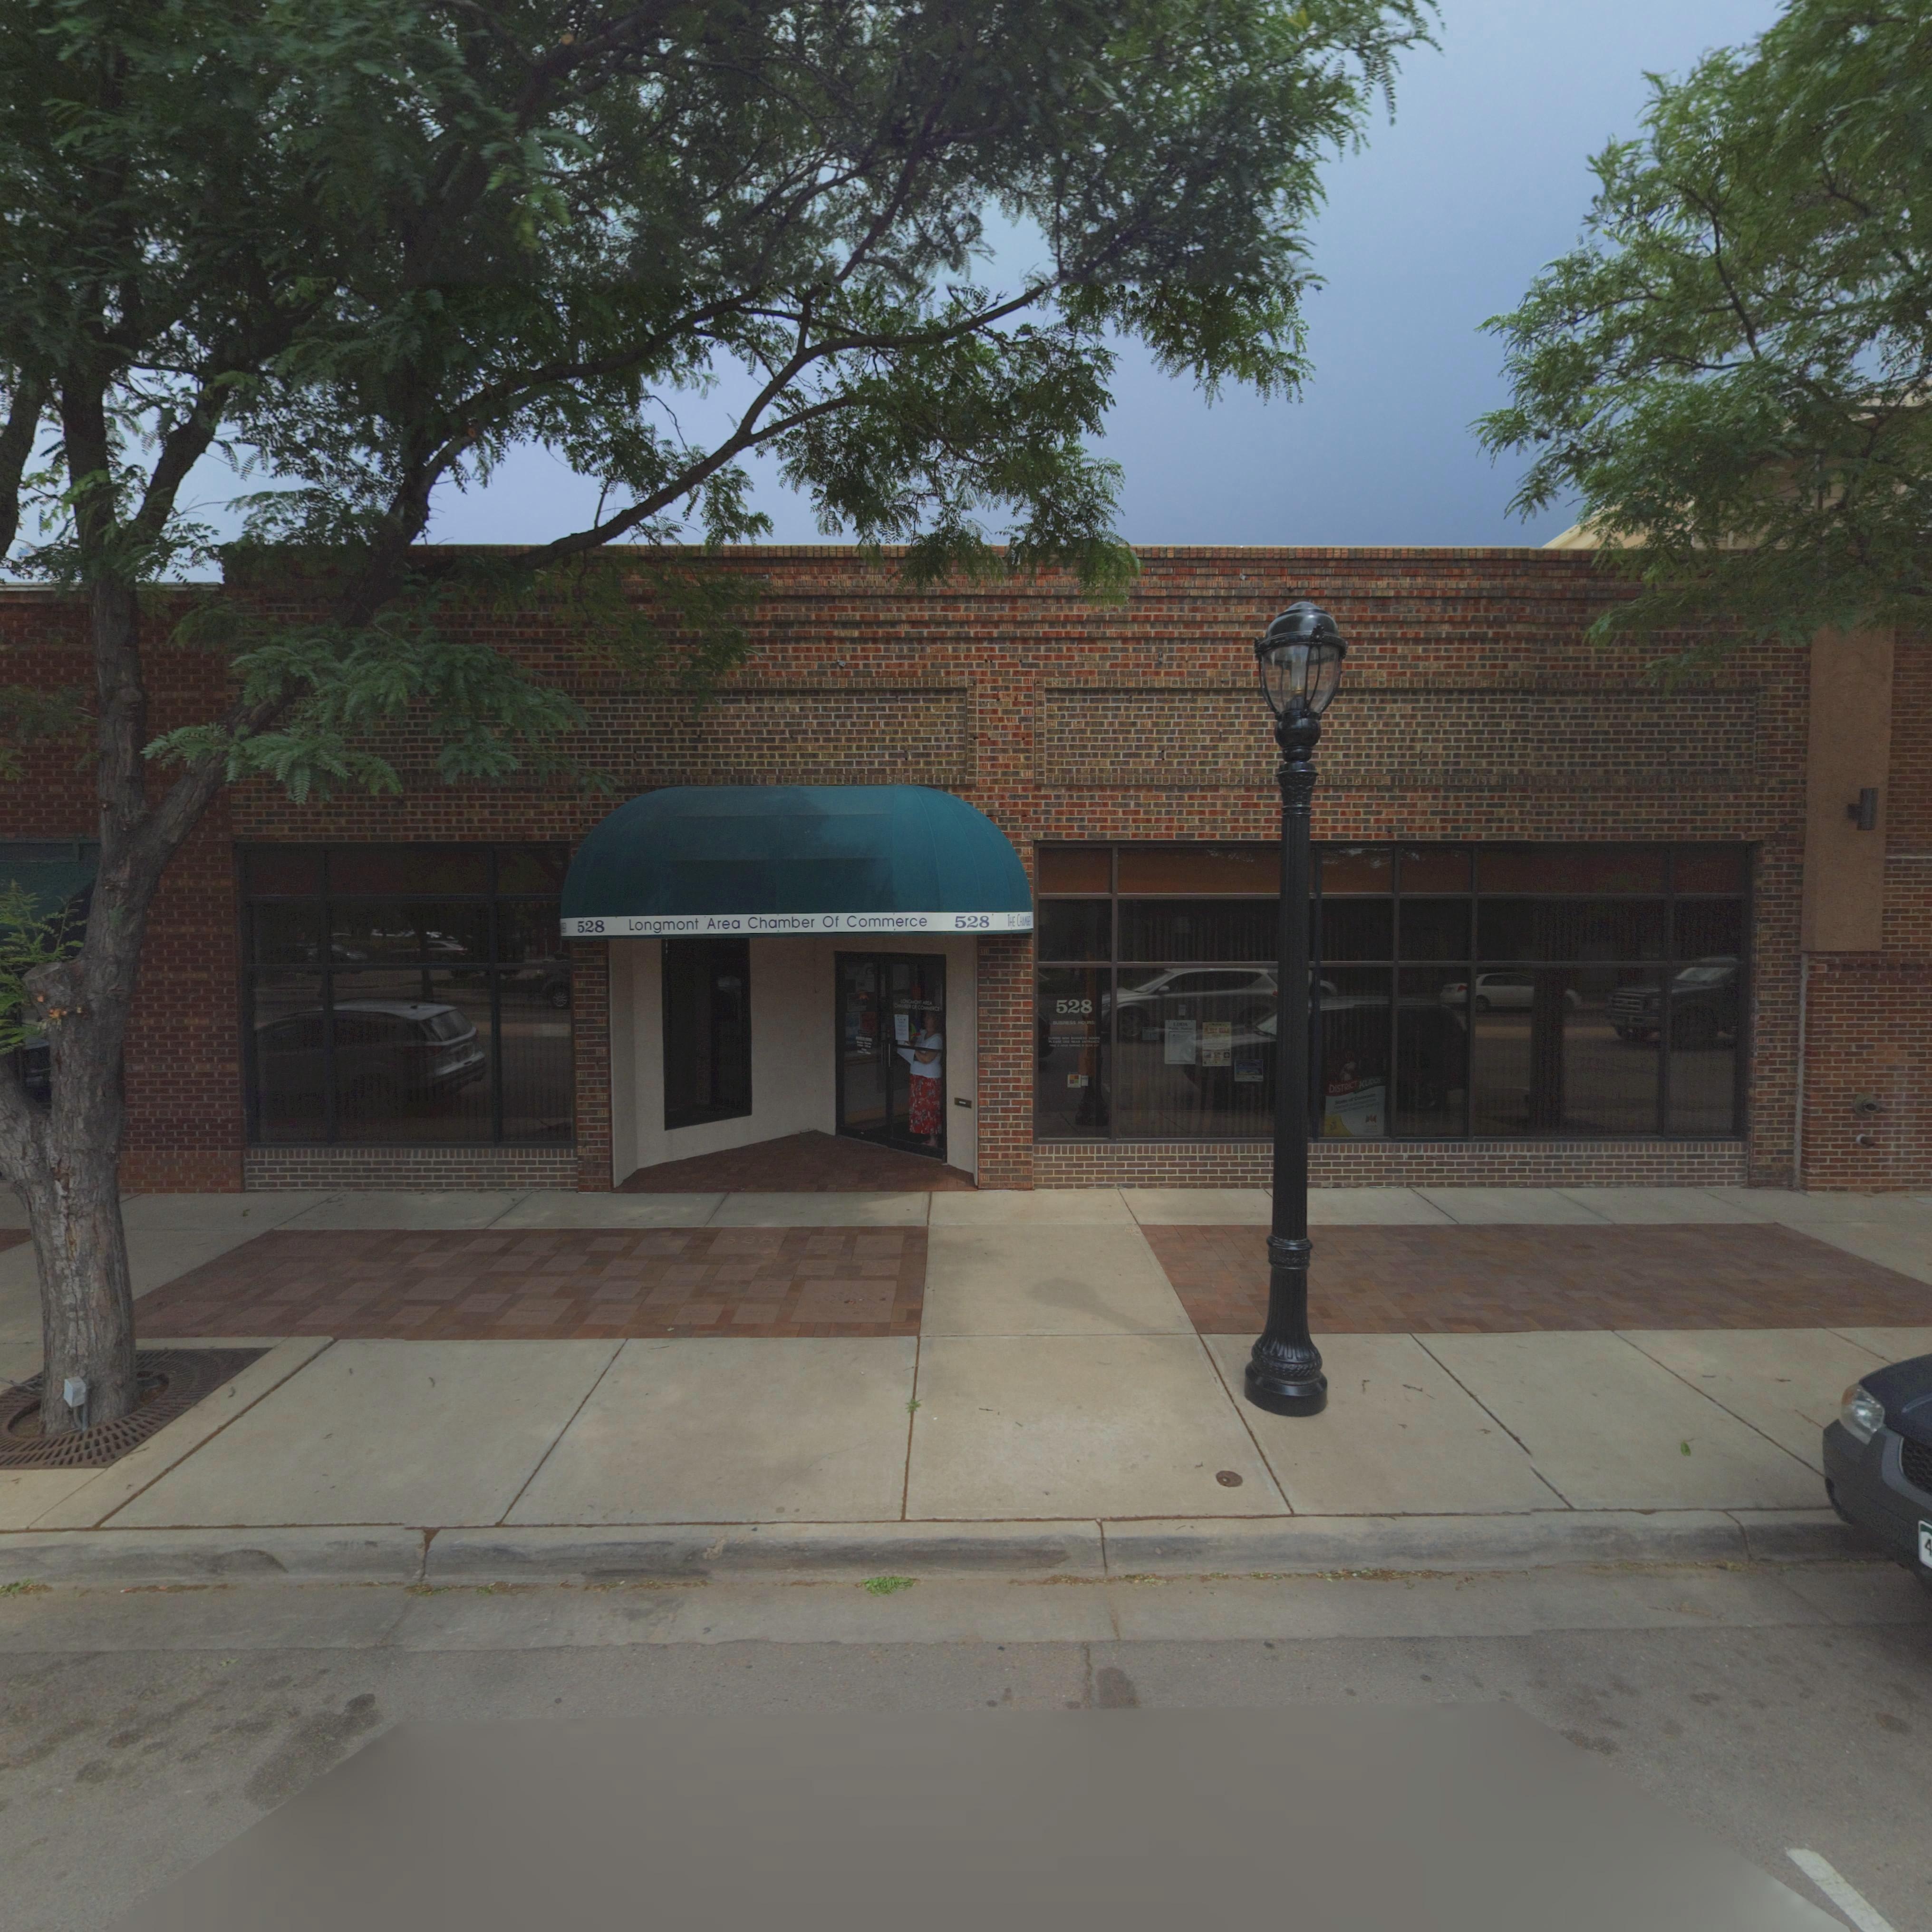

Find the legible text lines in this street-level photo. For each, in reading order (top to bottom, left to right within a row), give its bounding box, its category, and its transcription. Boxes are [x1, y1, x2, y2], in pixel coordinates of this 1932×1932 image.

[577, 919, 606, 933] StreetNumber: 528
[628, 914, 929, 936] BusinessName: Longmont Area Chamber Of Commerce
[954, 915, 990, 928] StreetNumber: 528
[1006, 913, 1031, 928] BusinessName: THE CHAMBER
[899, 998, 932, 1005] BusinessName: LONGMONT AREA
[893, 1003, 940, 1011] BusinessName: CHAMBER OF COMMERCE
[1055, 999, 1093, 1014] StreetNumber: 528